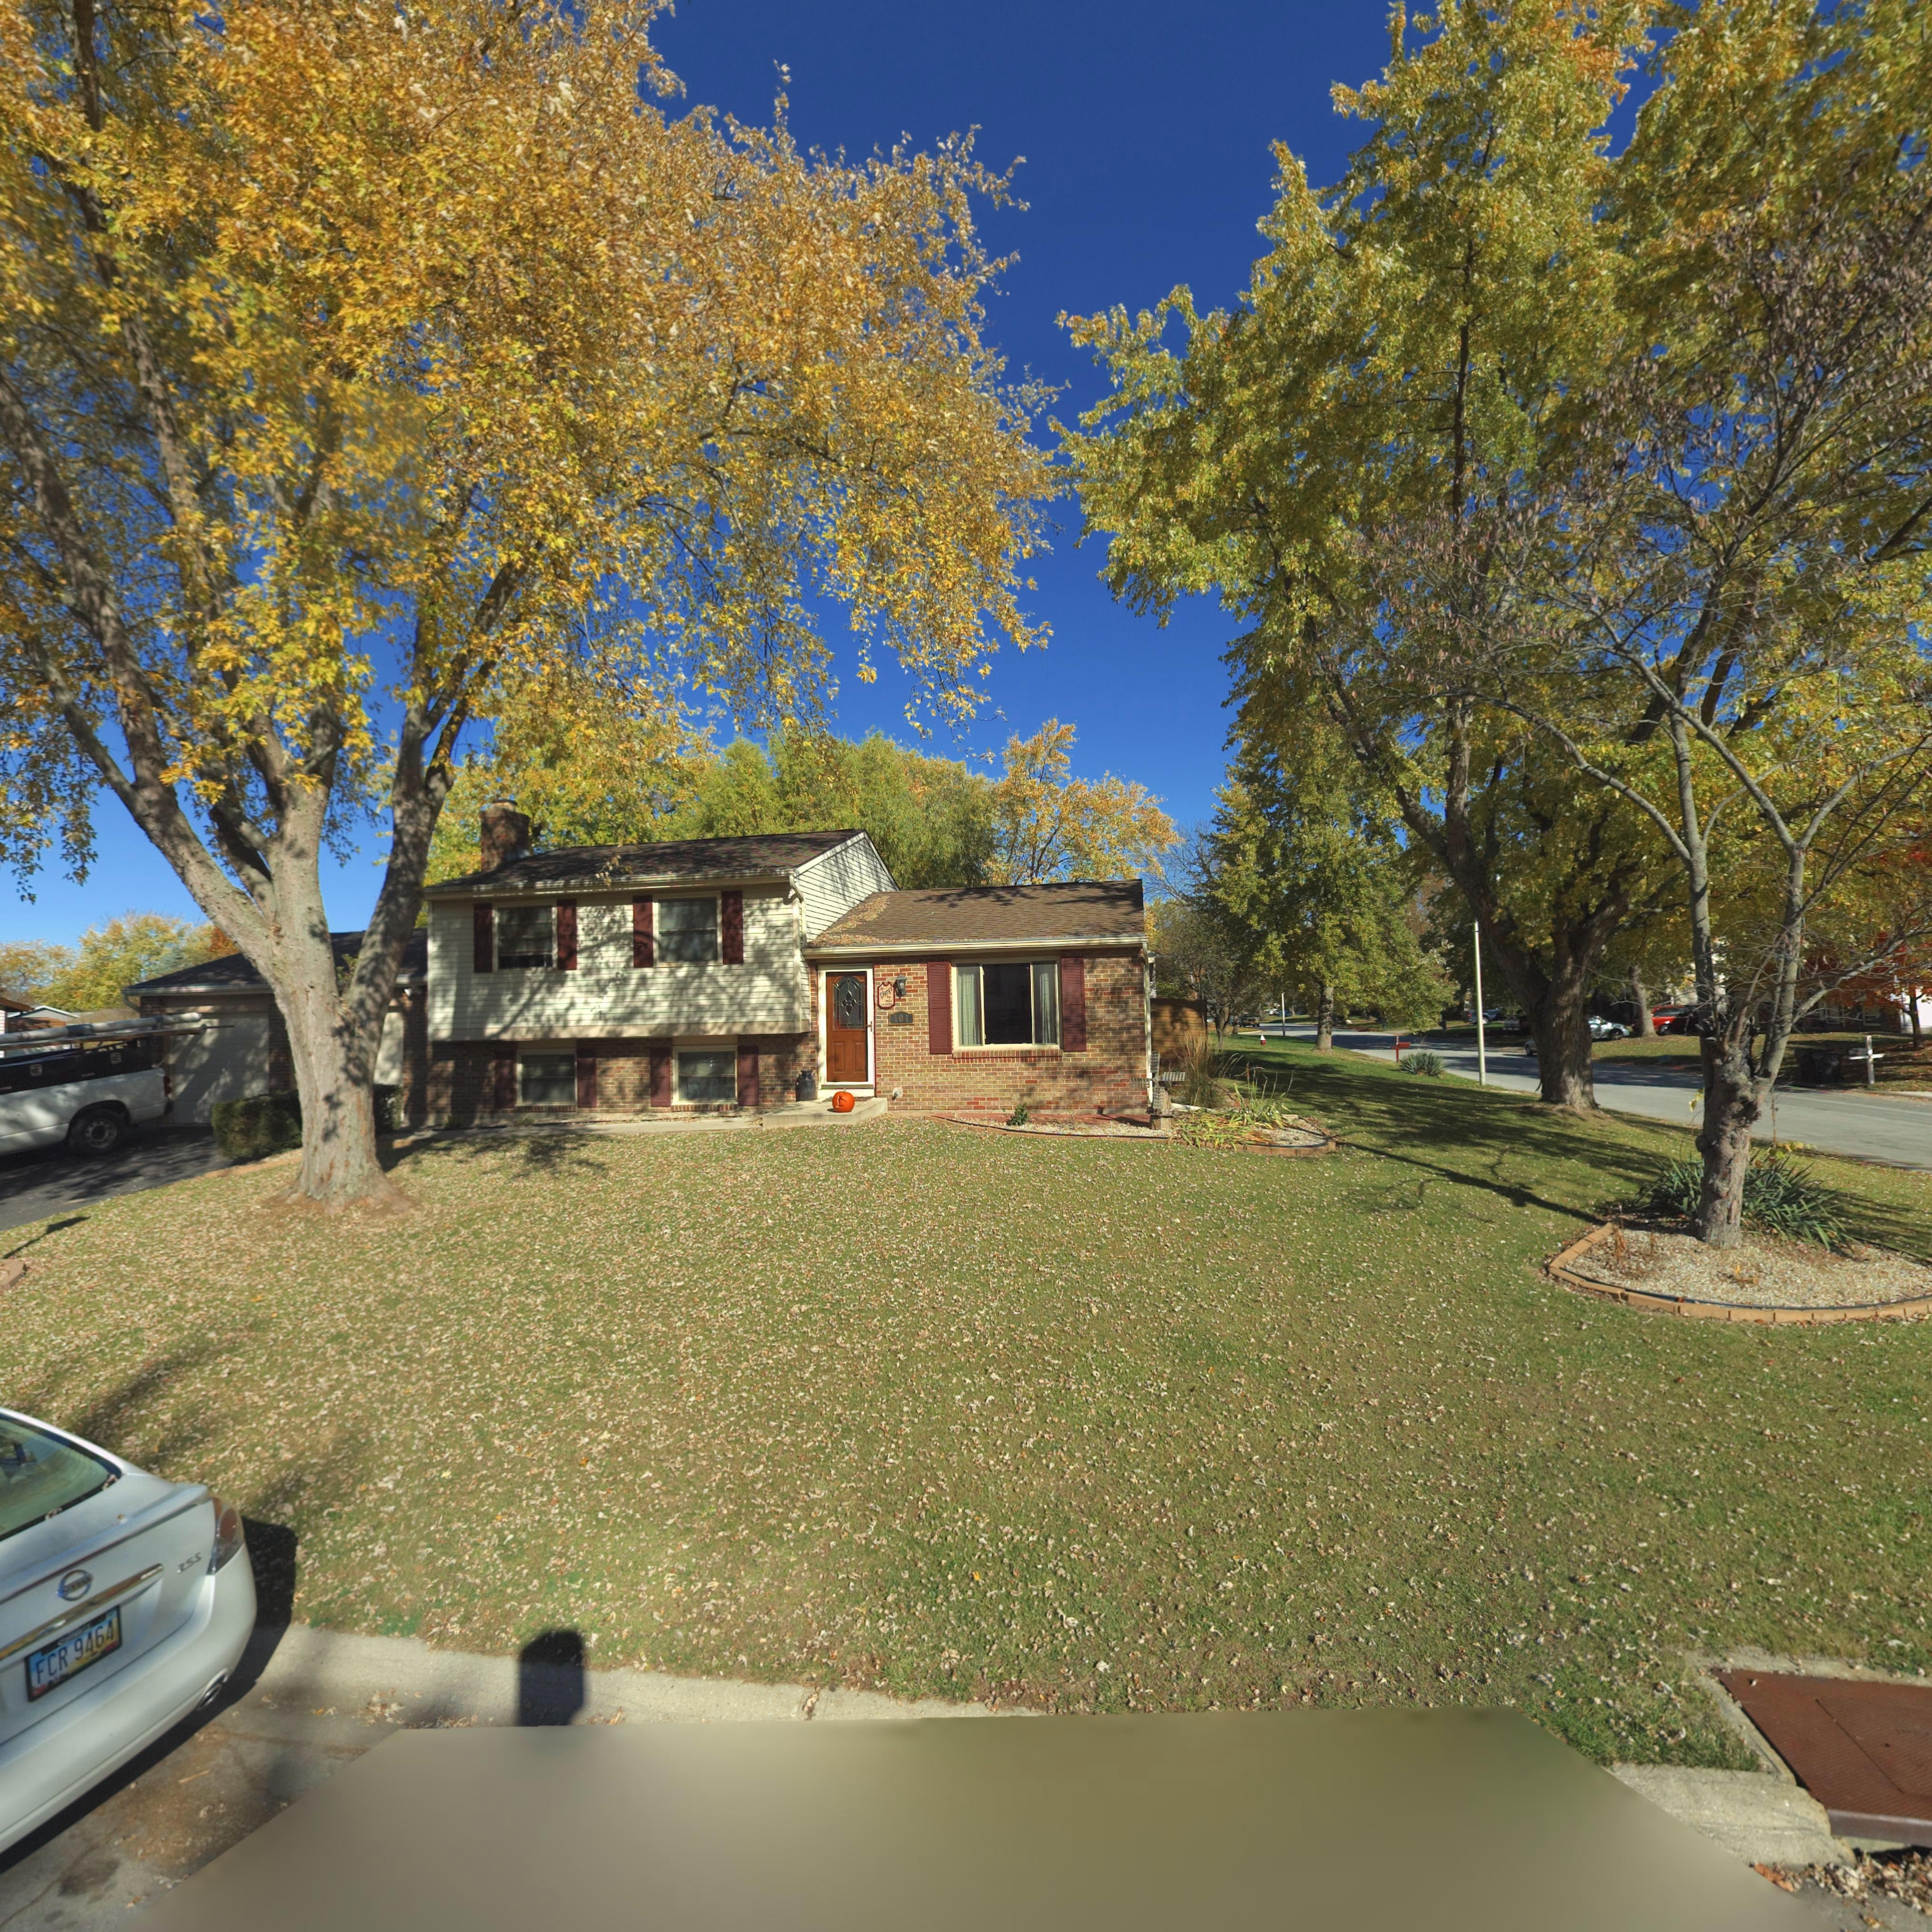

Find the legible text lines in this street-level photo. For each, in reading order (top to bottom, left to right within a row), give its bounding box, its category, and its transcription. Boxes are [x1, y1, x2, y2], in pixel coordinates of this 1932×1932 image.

[894, 1013, 909, 1023] StreetNumber: 101